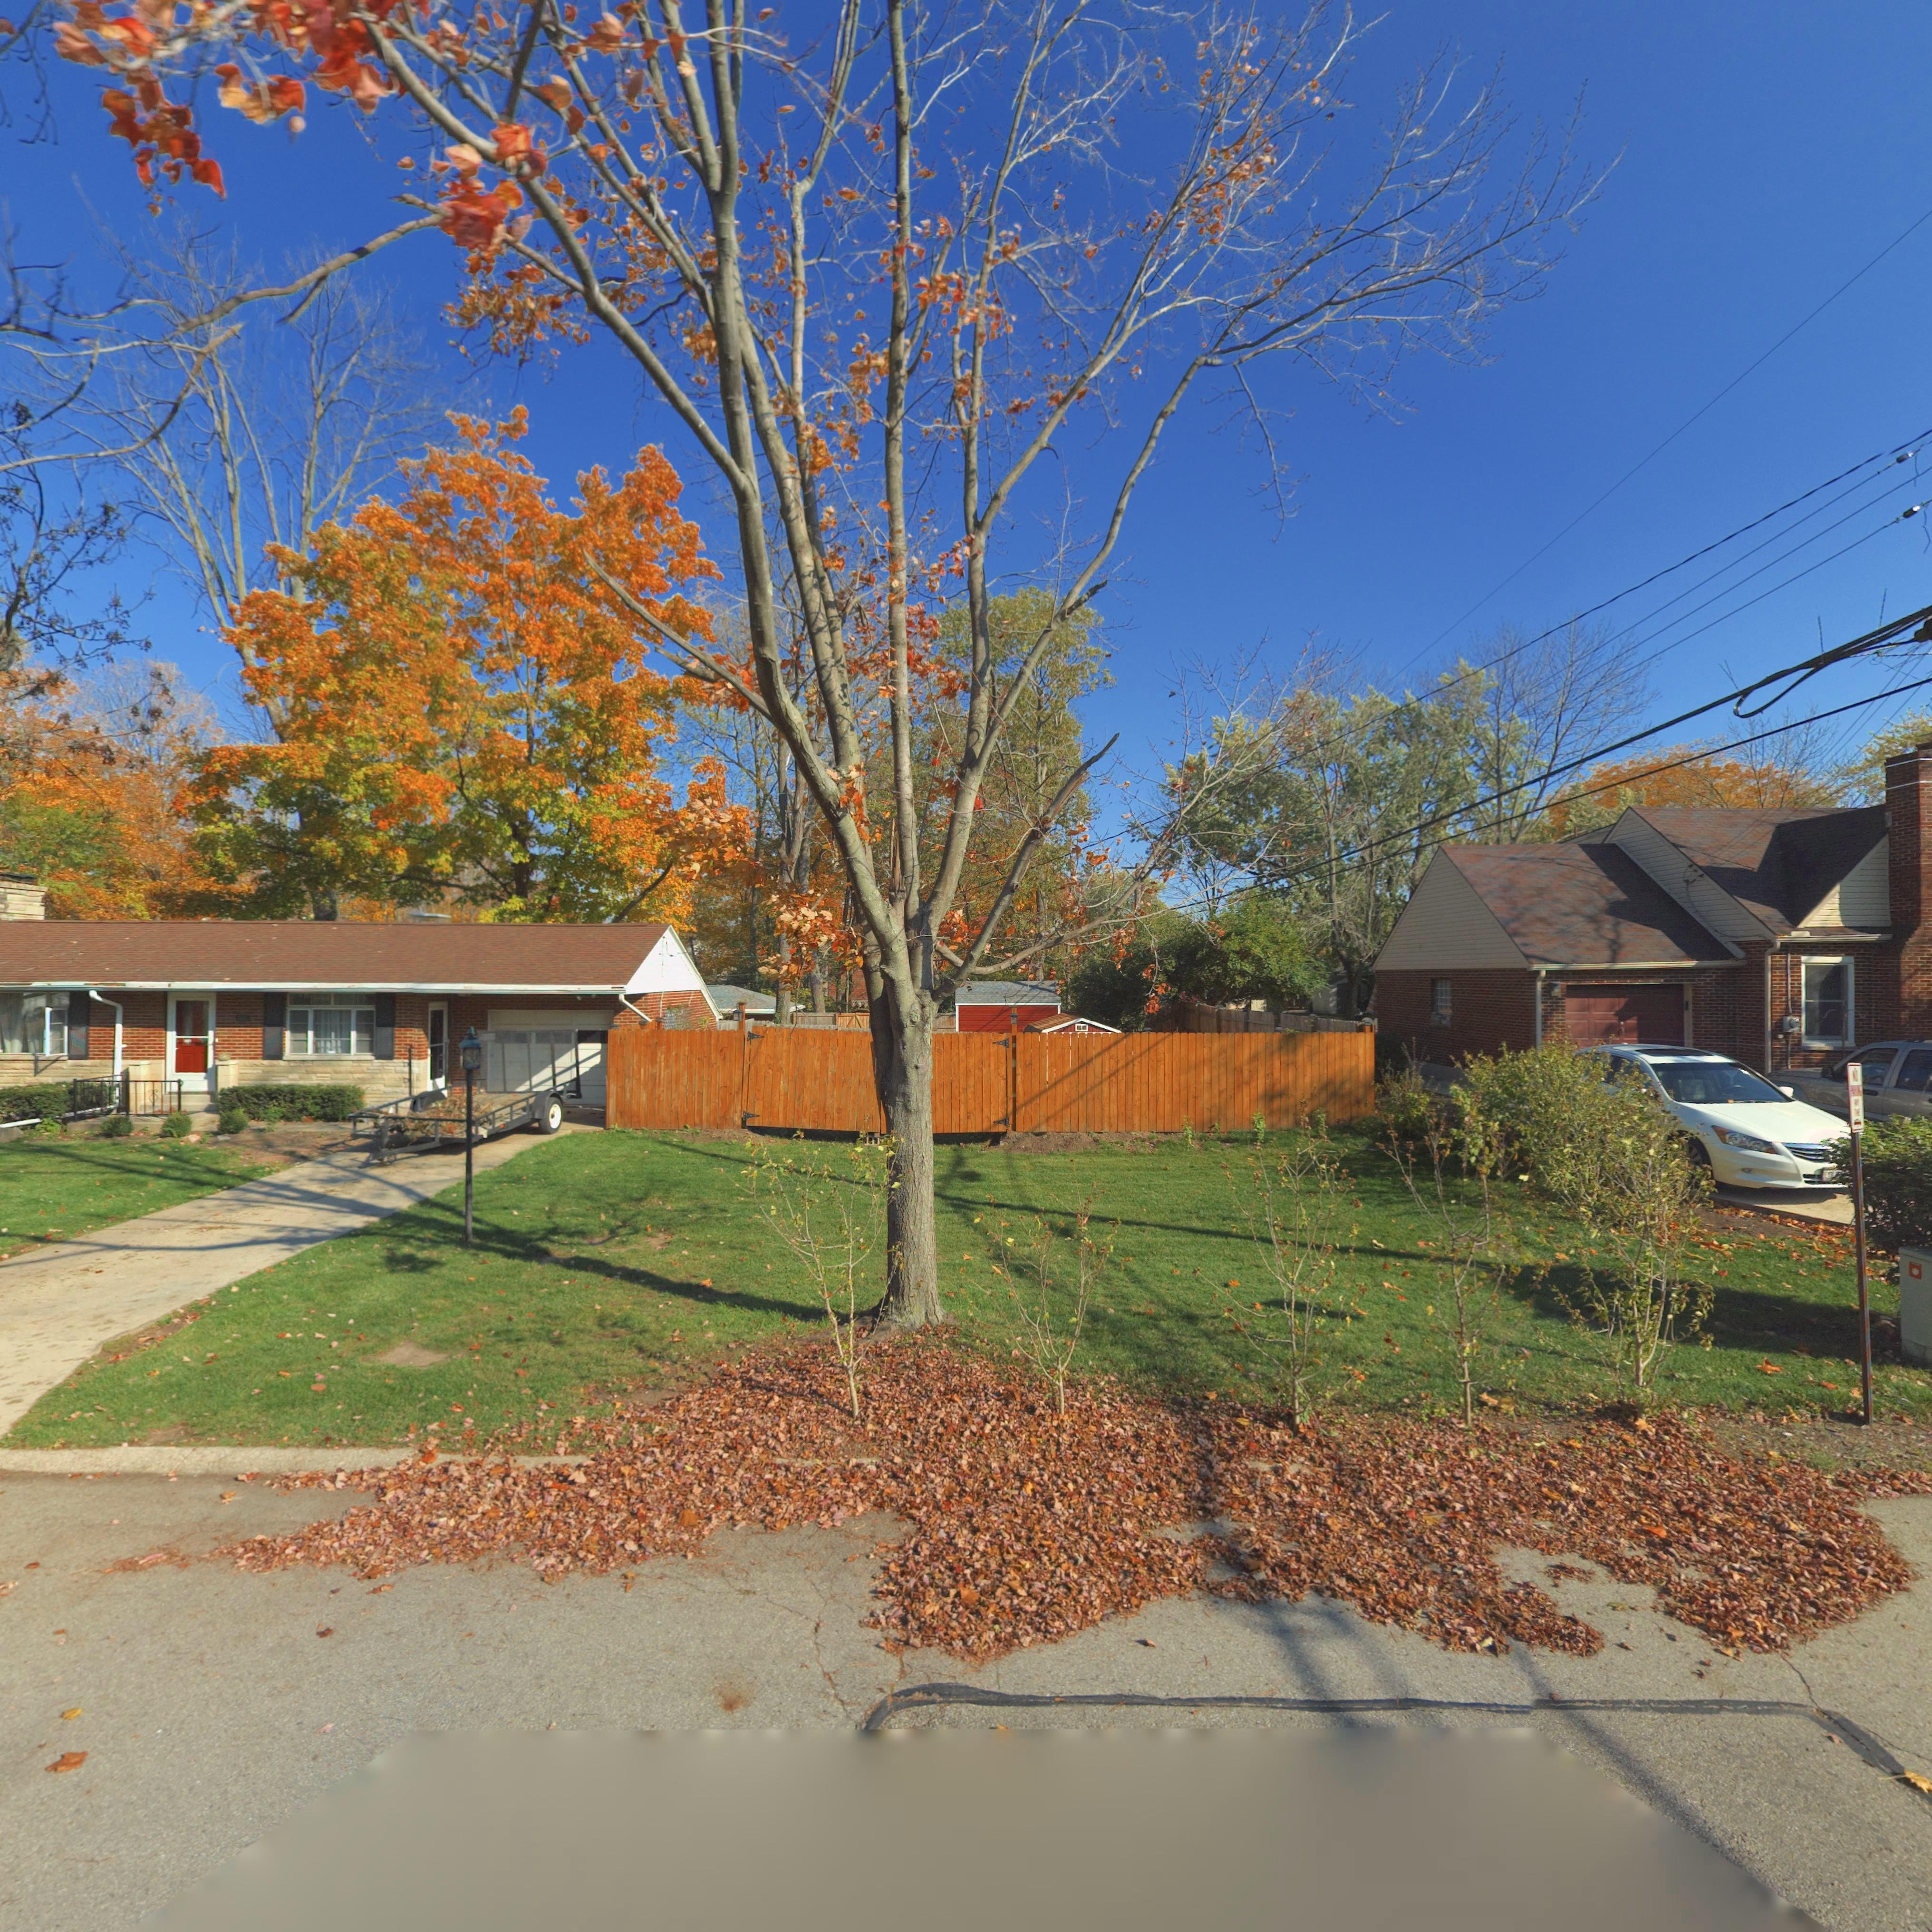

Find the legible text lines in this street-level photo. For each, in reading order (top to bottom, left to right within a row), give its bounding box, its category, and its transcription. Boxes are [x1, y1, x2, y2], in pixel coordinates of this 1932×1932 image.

[1852, 1070, 1858, 1082] None: NO
[1849, 1084, 1863, 1097] None: PARKING
[1854, 1098, 1860, 1107] None: ANY
[1854, 1108, 1861, 1117] None: TIME